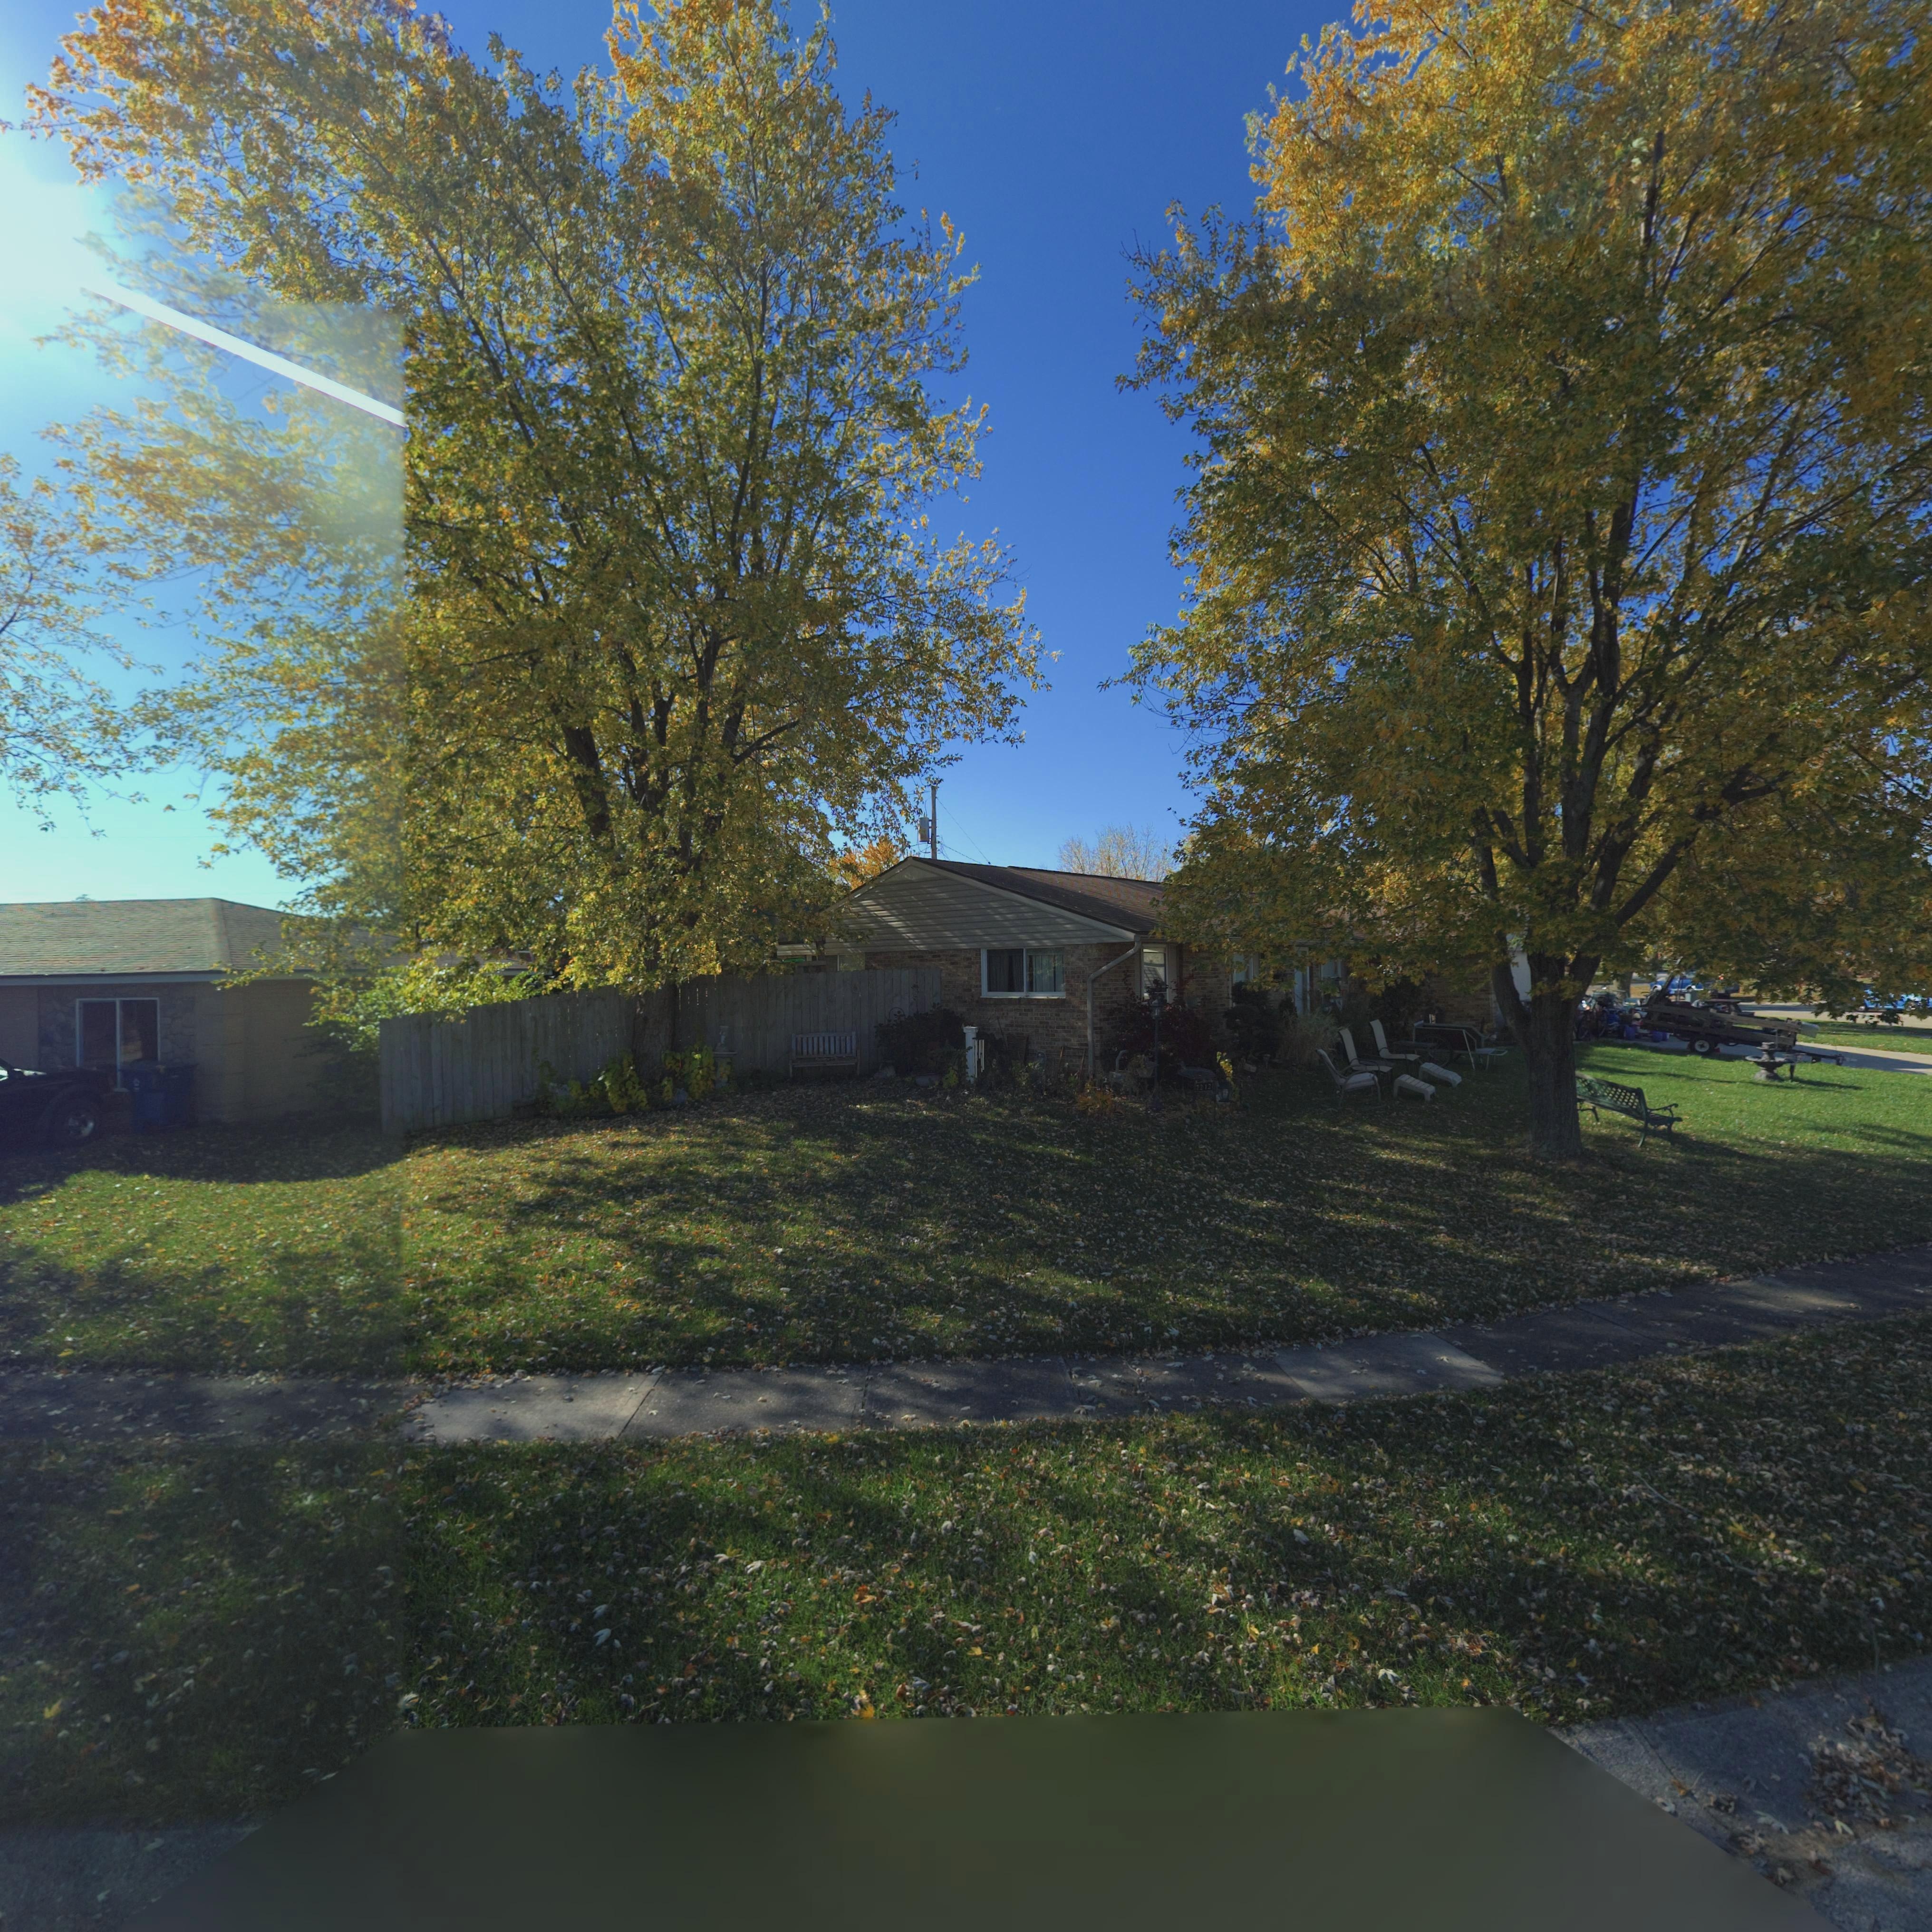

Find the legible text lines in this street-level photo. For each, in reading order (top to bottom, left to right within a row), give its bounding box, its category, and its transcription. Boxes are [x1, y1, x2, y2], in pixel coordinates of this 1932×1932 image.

[1195, 1082, 1212, 1092] StreetNumber: 7212